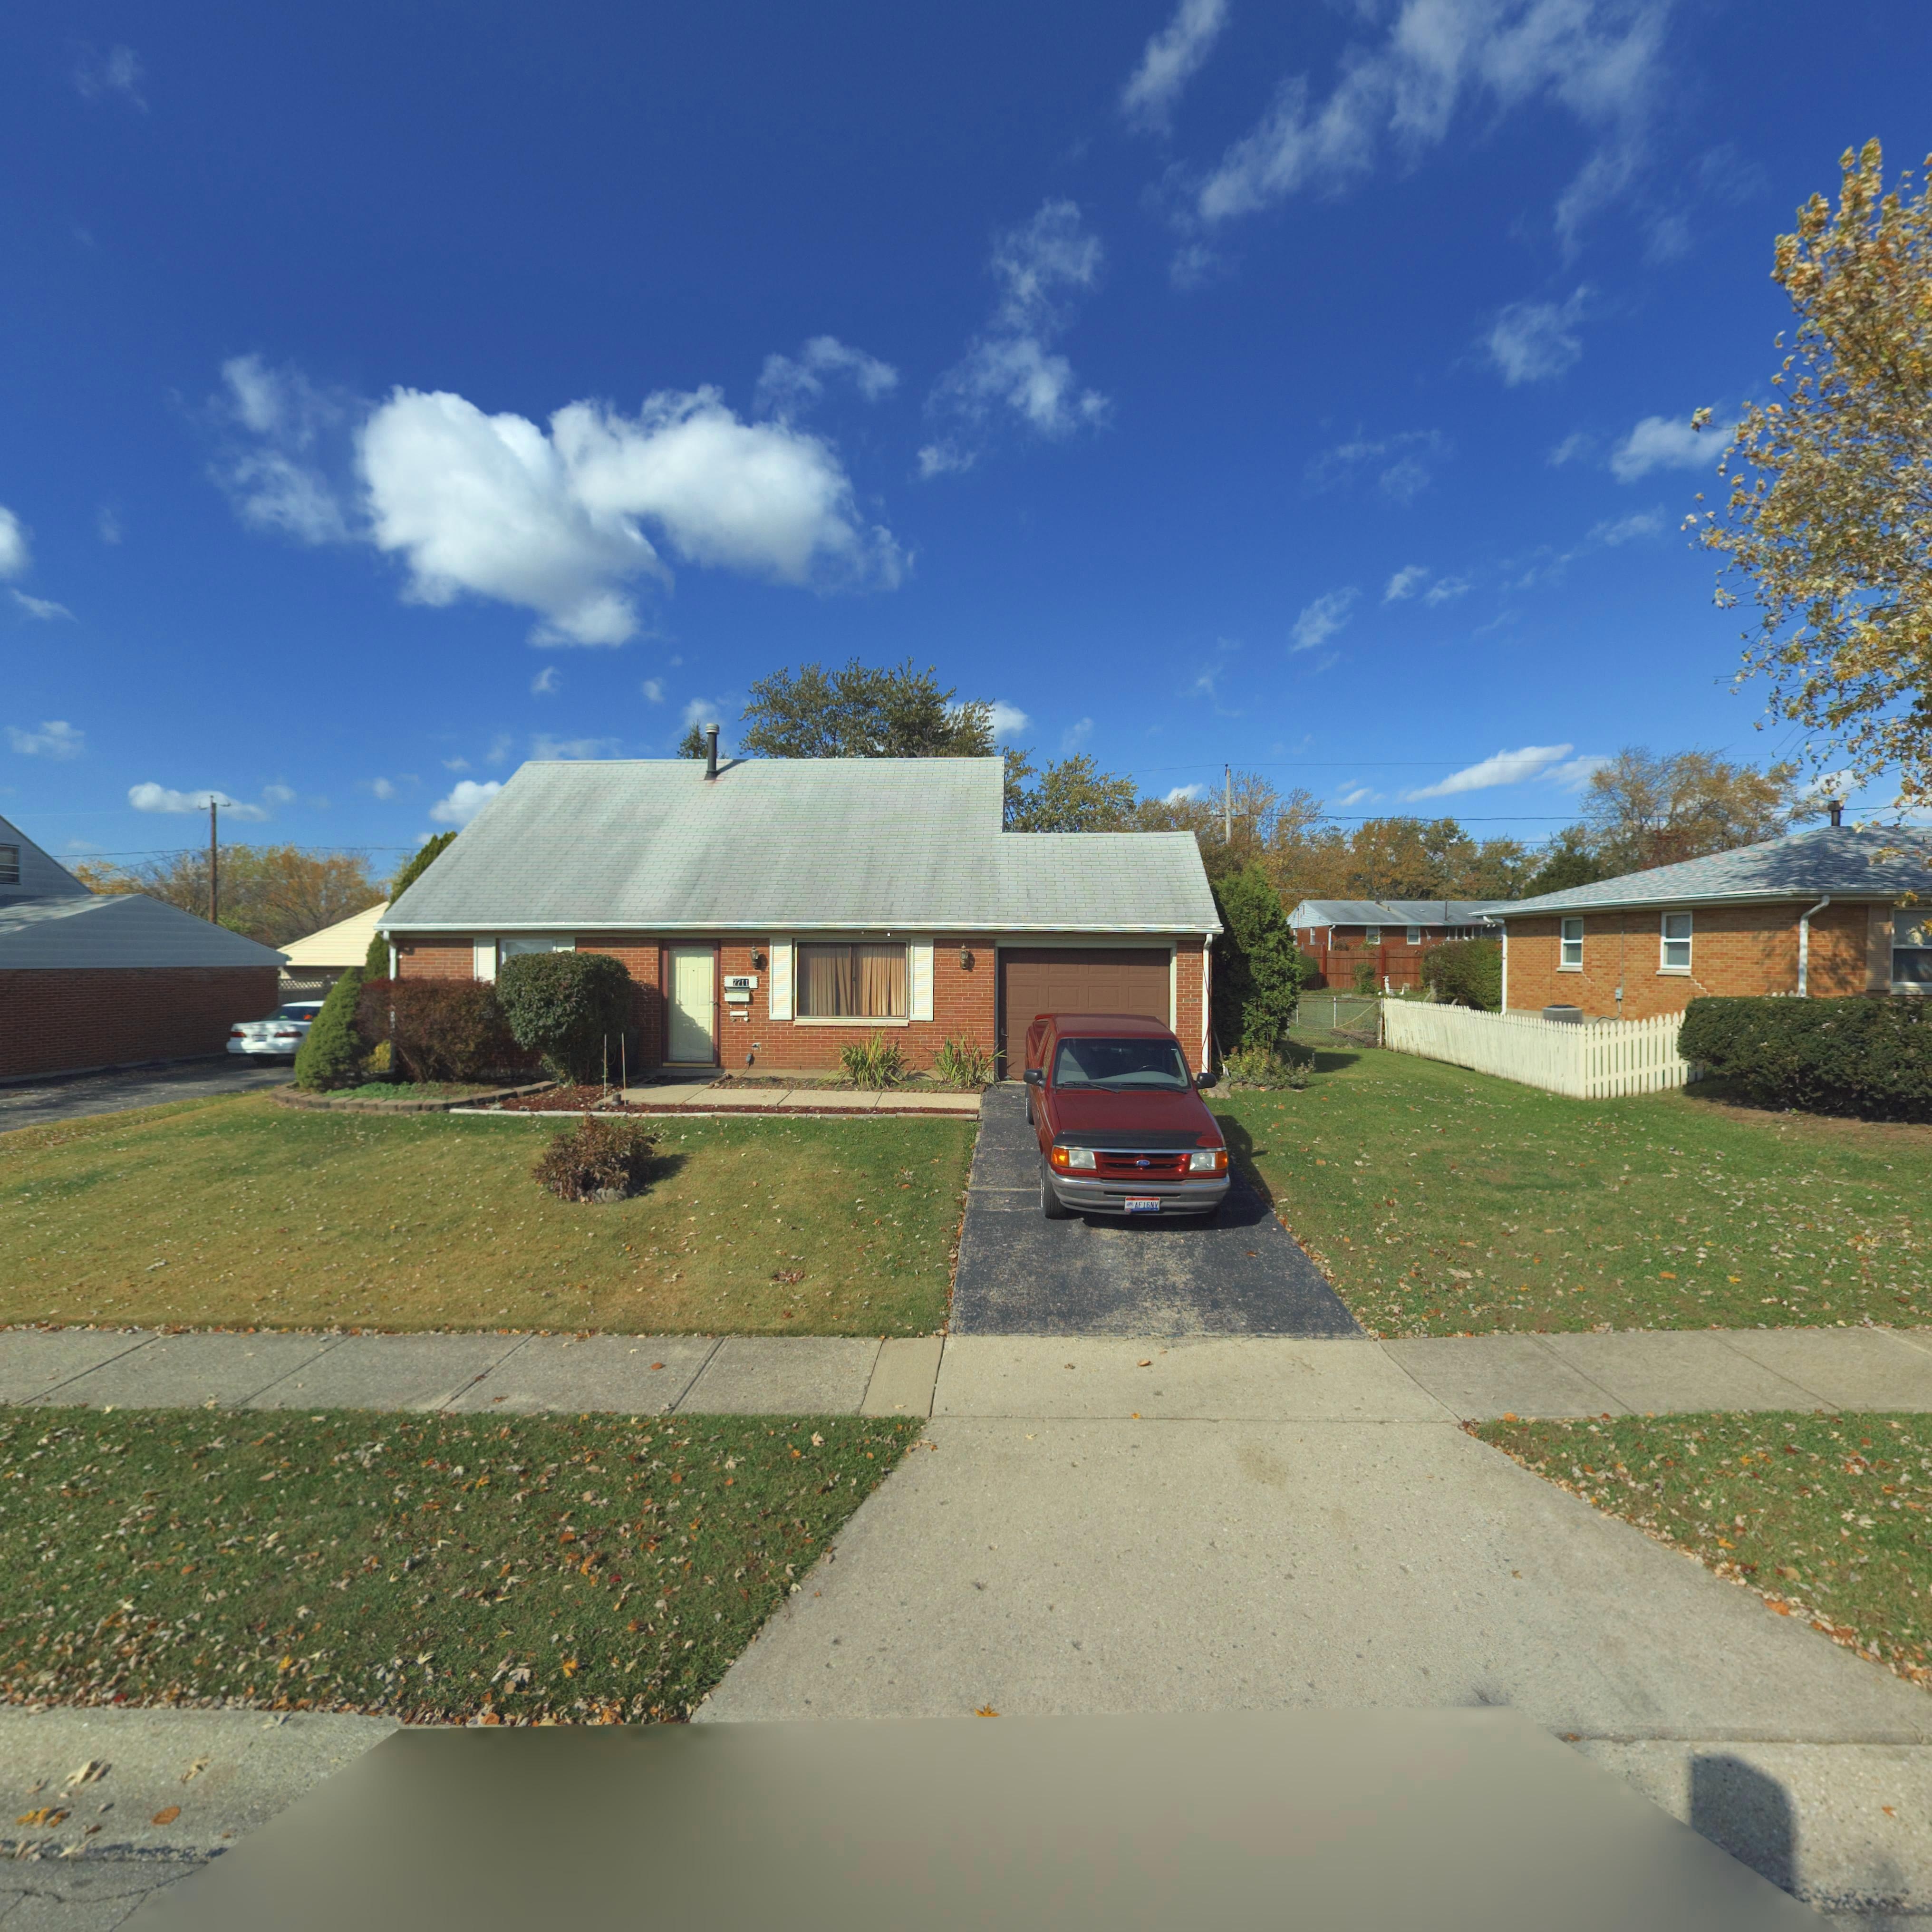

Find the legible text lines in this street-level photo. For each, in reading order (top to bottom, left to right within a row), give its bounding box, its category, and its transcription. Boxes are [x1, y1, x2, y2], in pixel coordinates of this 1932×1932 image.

[733, 979, 749, 986] StreetNumber: 7711